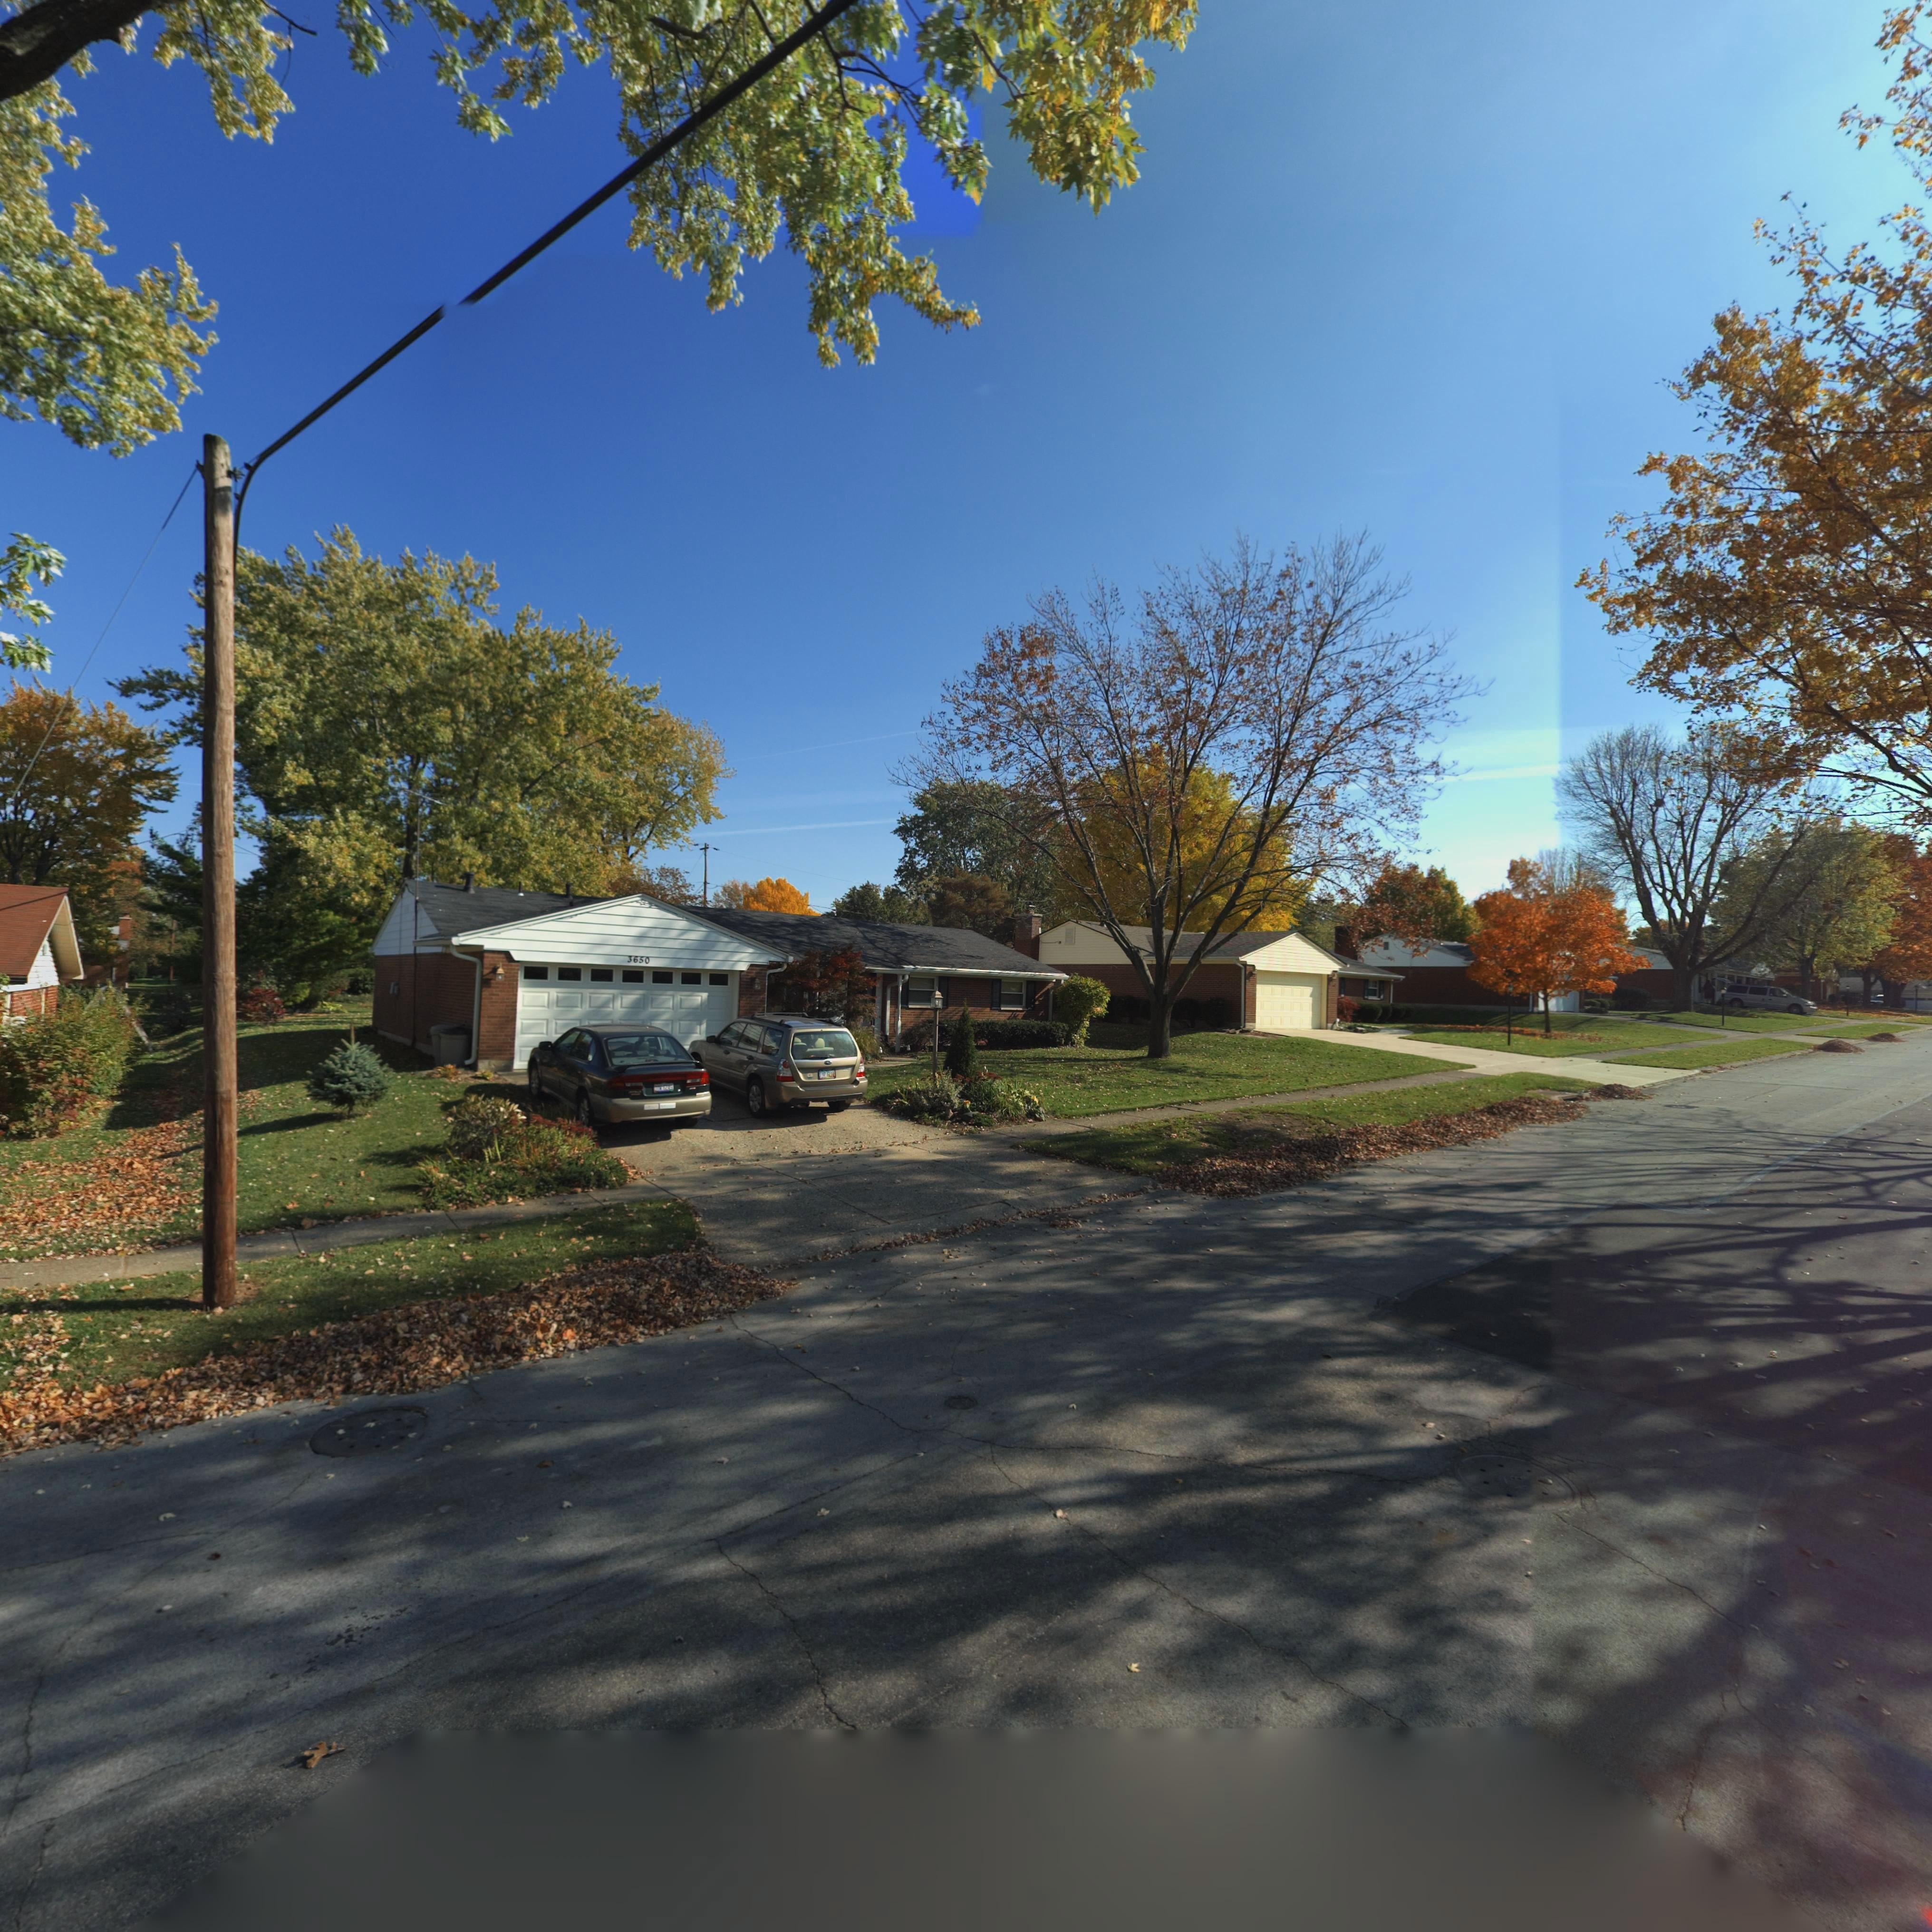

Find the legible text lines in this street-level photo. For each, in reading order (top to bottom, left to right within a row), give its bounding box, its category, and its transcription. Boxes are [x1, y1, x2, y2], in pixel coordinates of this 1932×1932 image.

[626, 954, 651, 966] StreetNumber: 3650